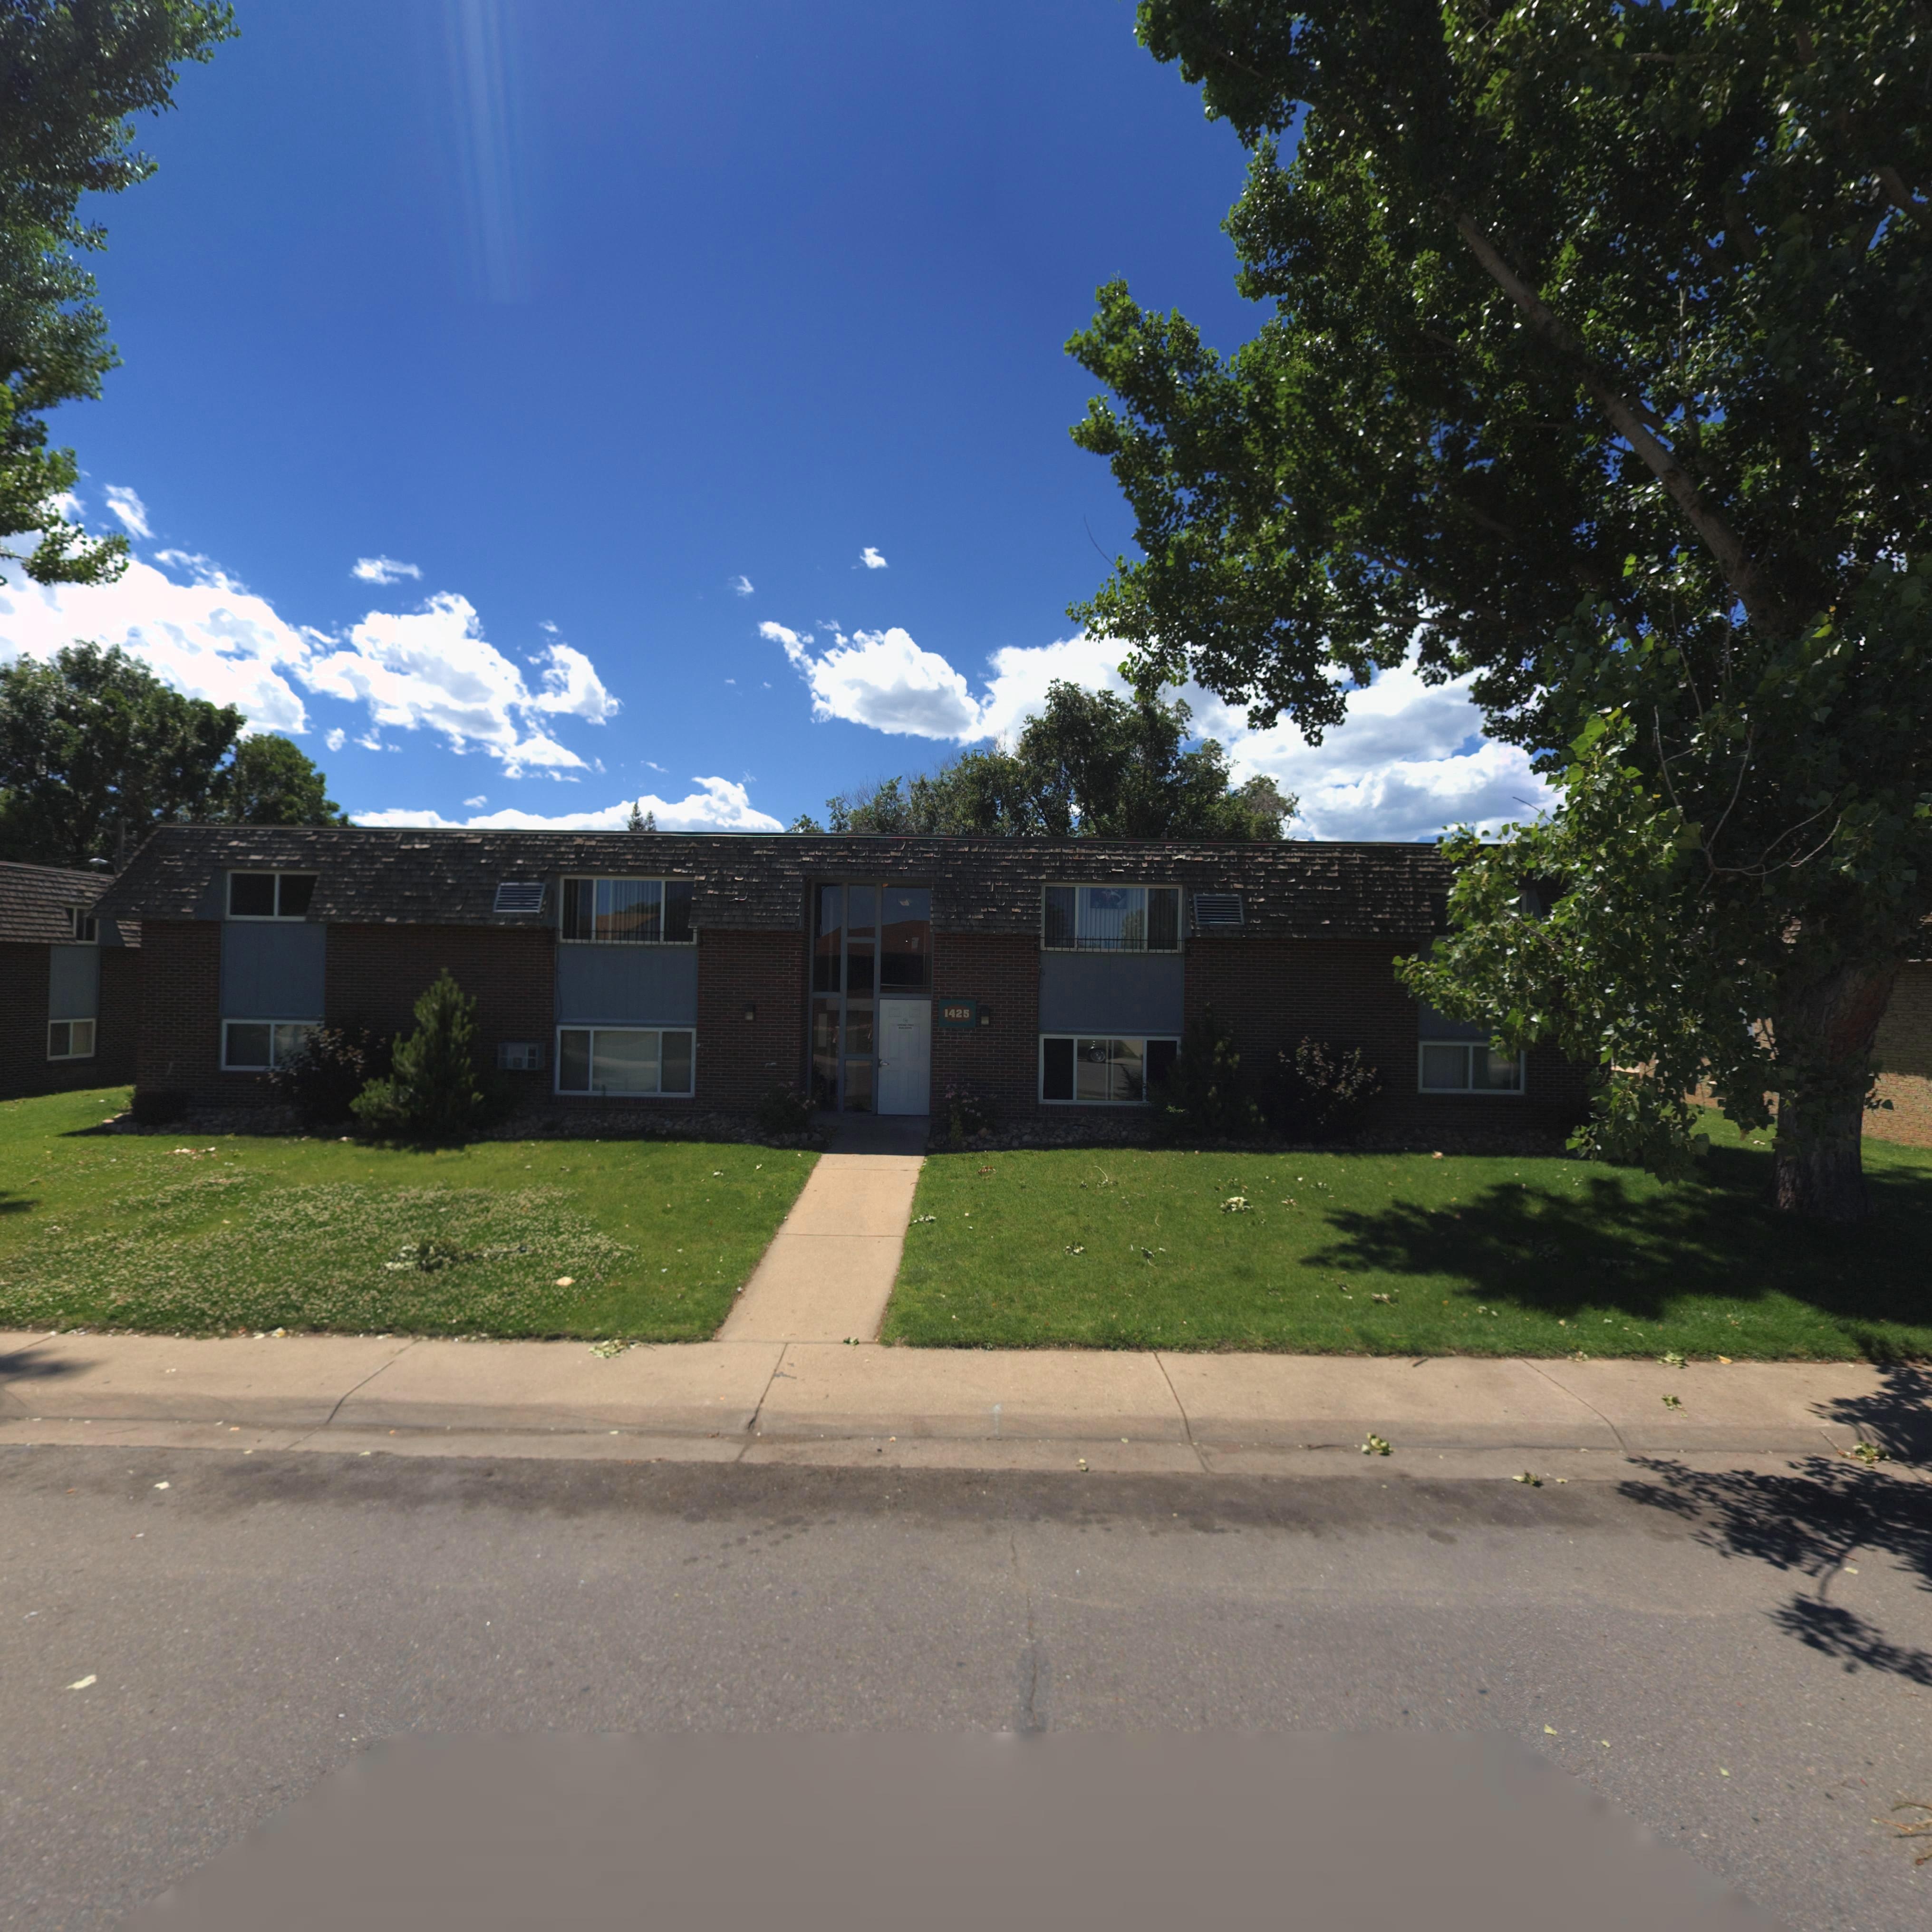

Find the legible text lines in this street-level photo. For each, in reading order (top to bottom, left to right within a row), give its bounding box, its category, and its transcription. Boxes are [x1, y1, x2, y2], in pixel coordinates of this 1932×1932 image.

[944, 1008, 969, 1018] StreetNumber: 1425